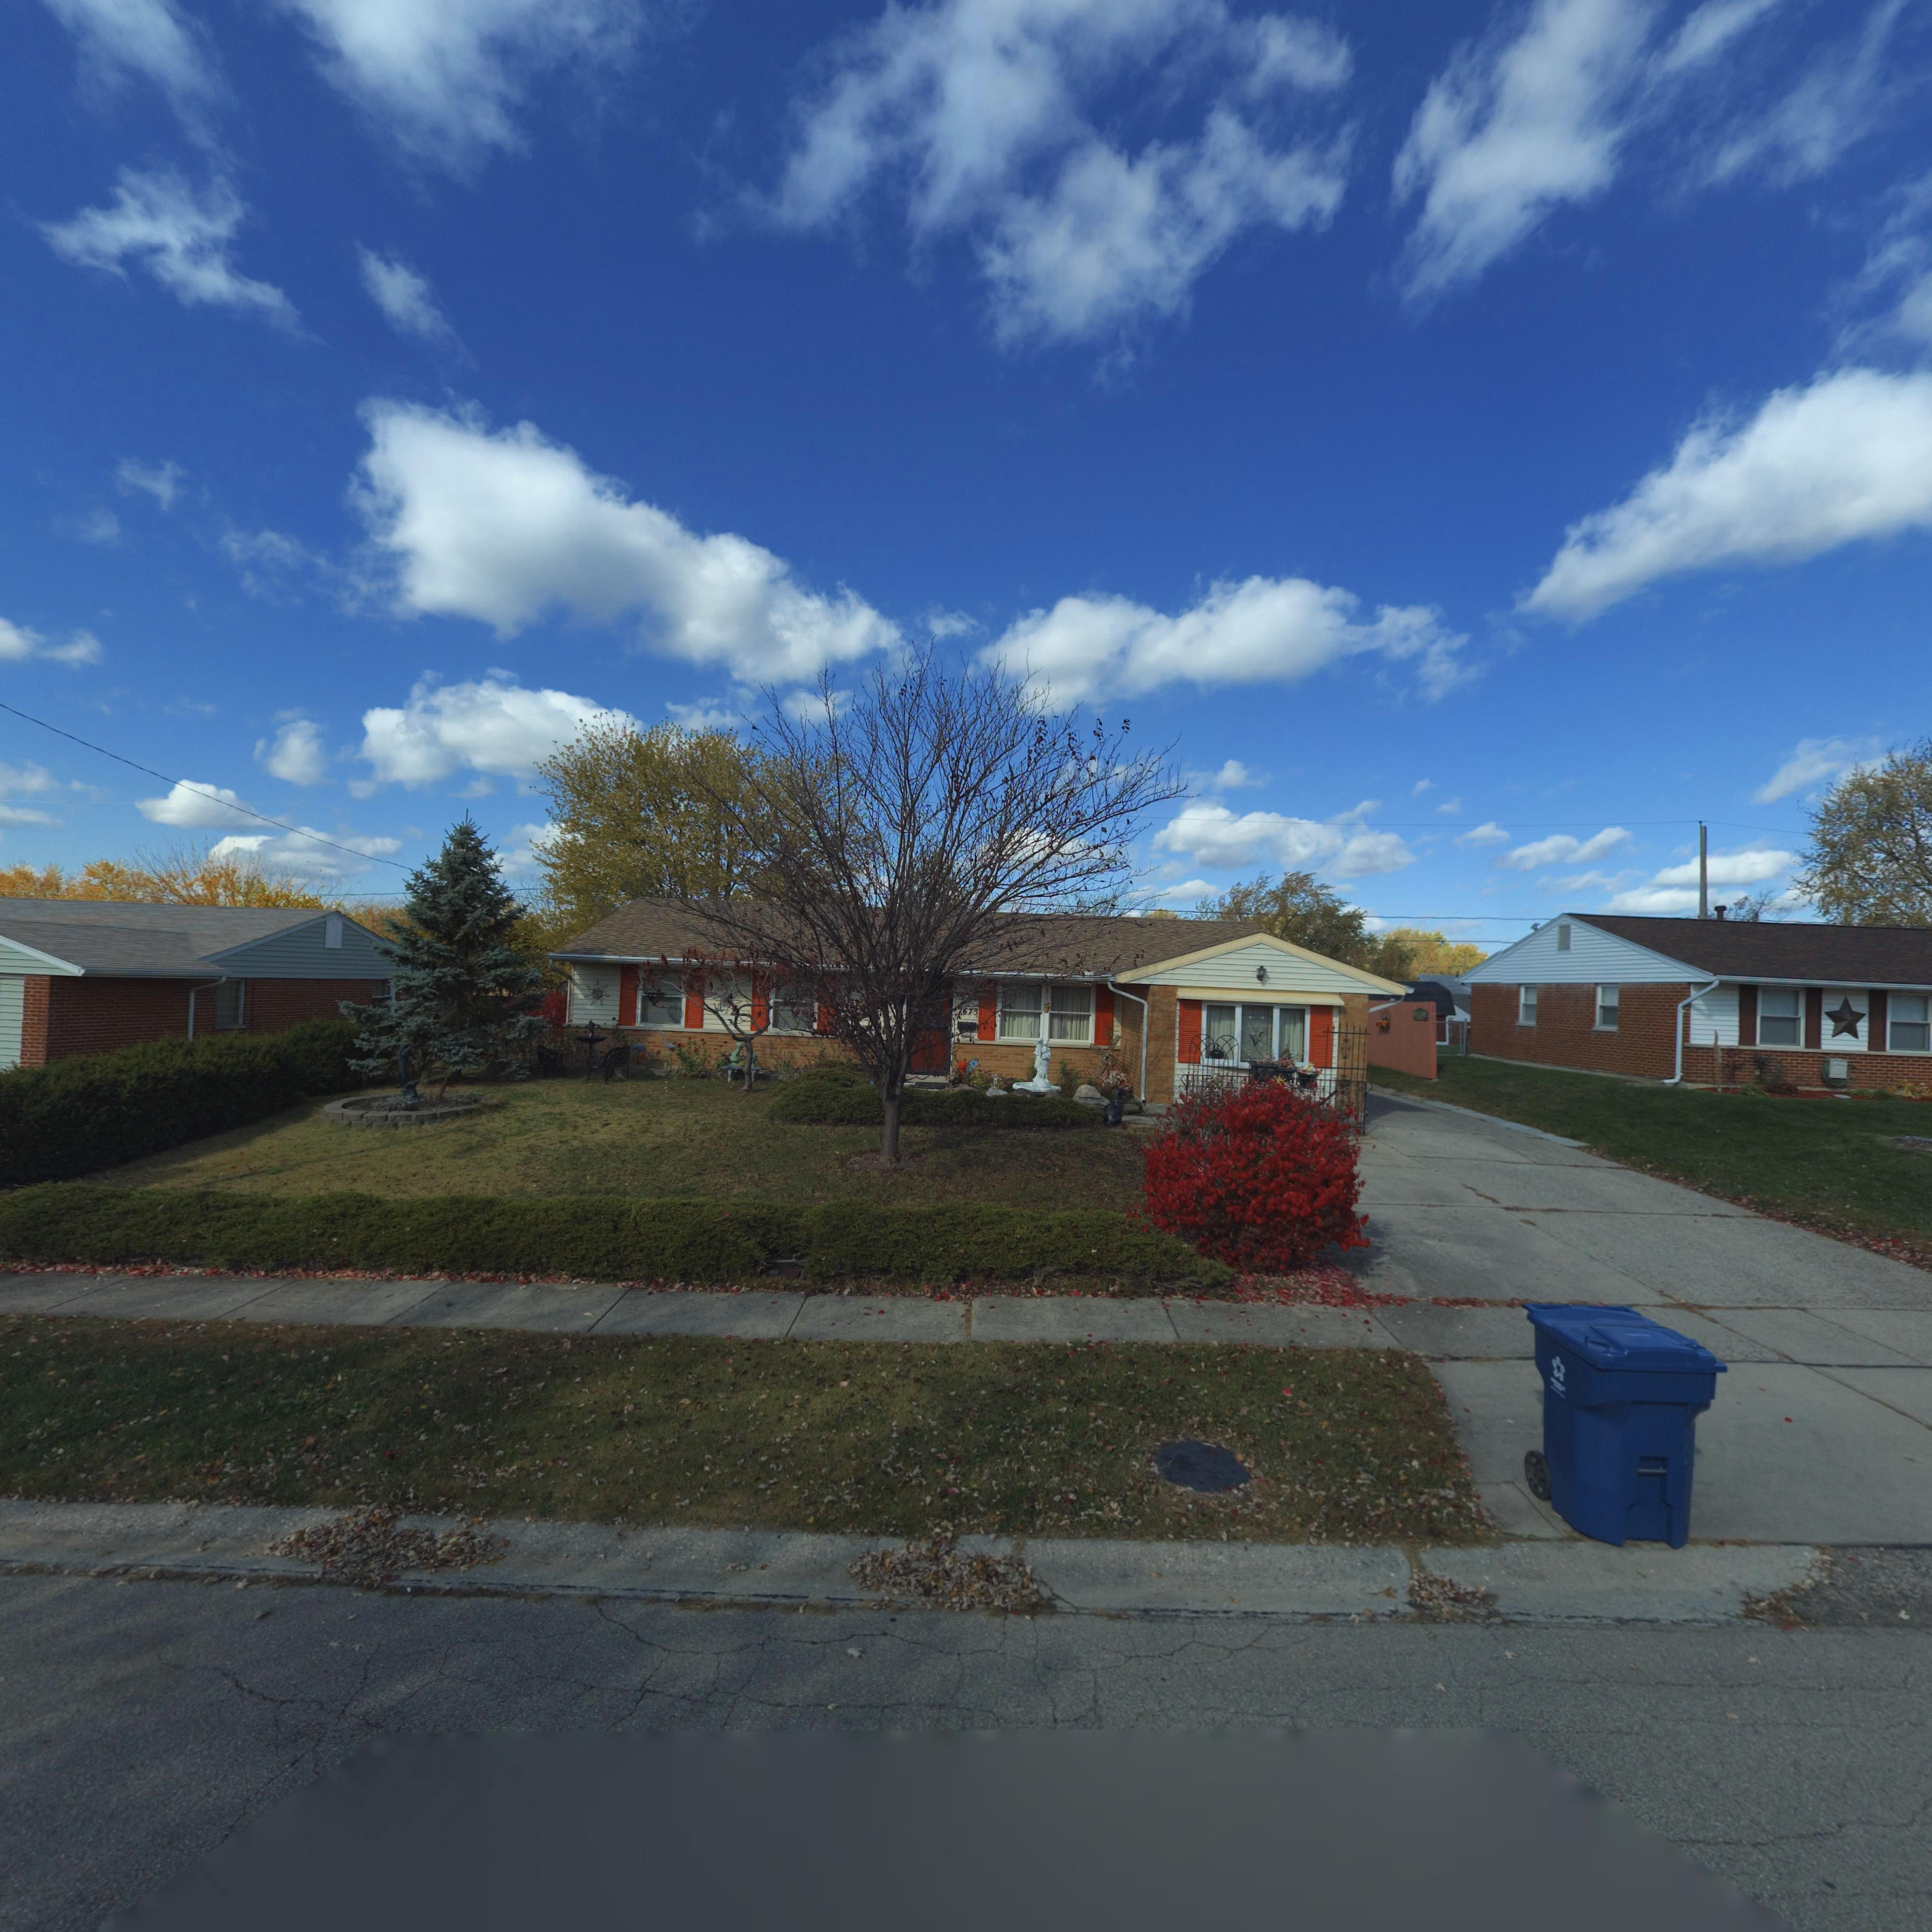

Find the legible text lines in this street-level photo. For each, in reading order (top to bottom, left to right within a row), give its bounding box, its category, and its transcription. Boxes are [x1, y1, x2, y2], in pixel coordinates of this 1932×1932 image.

[956, 1007, 978, 1015] StreetNumber: 7673